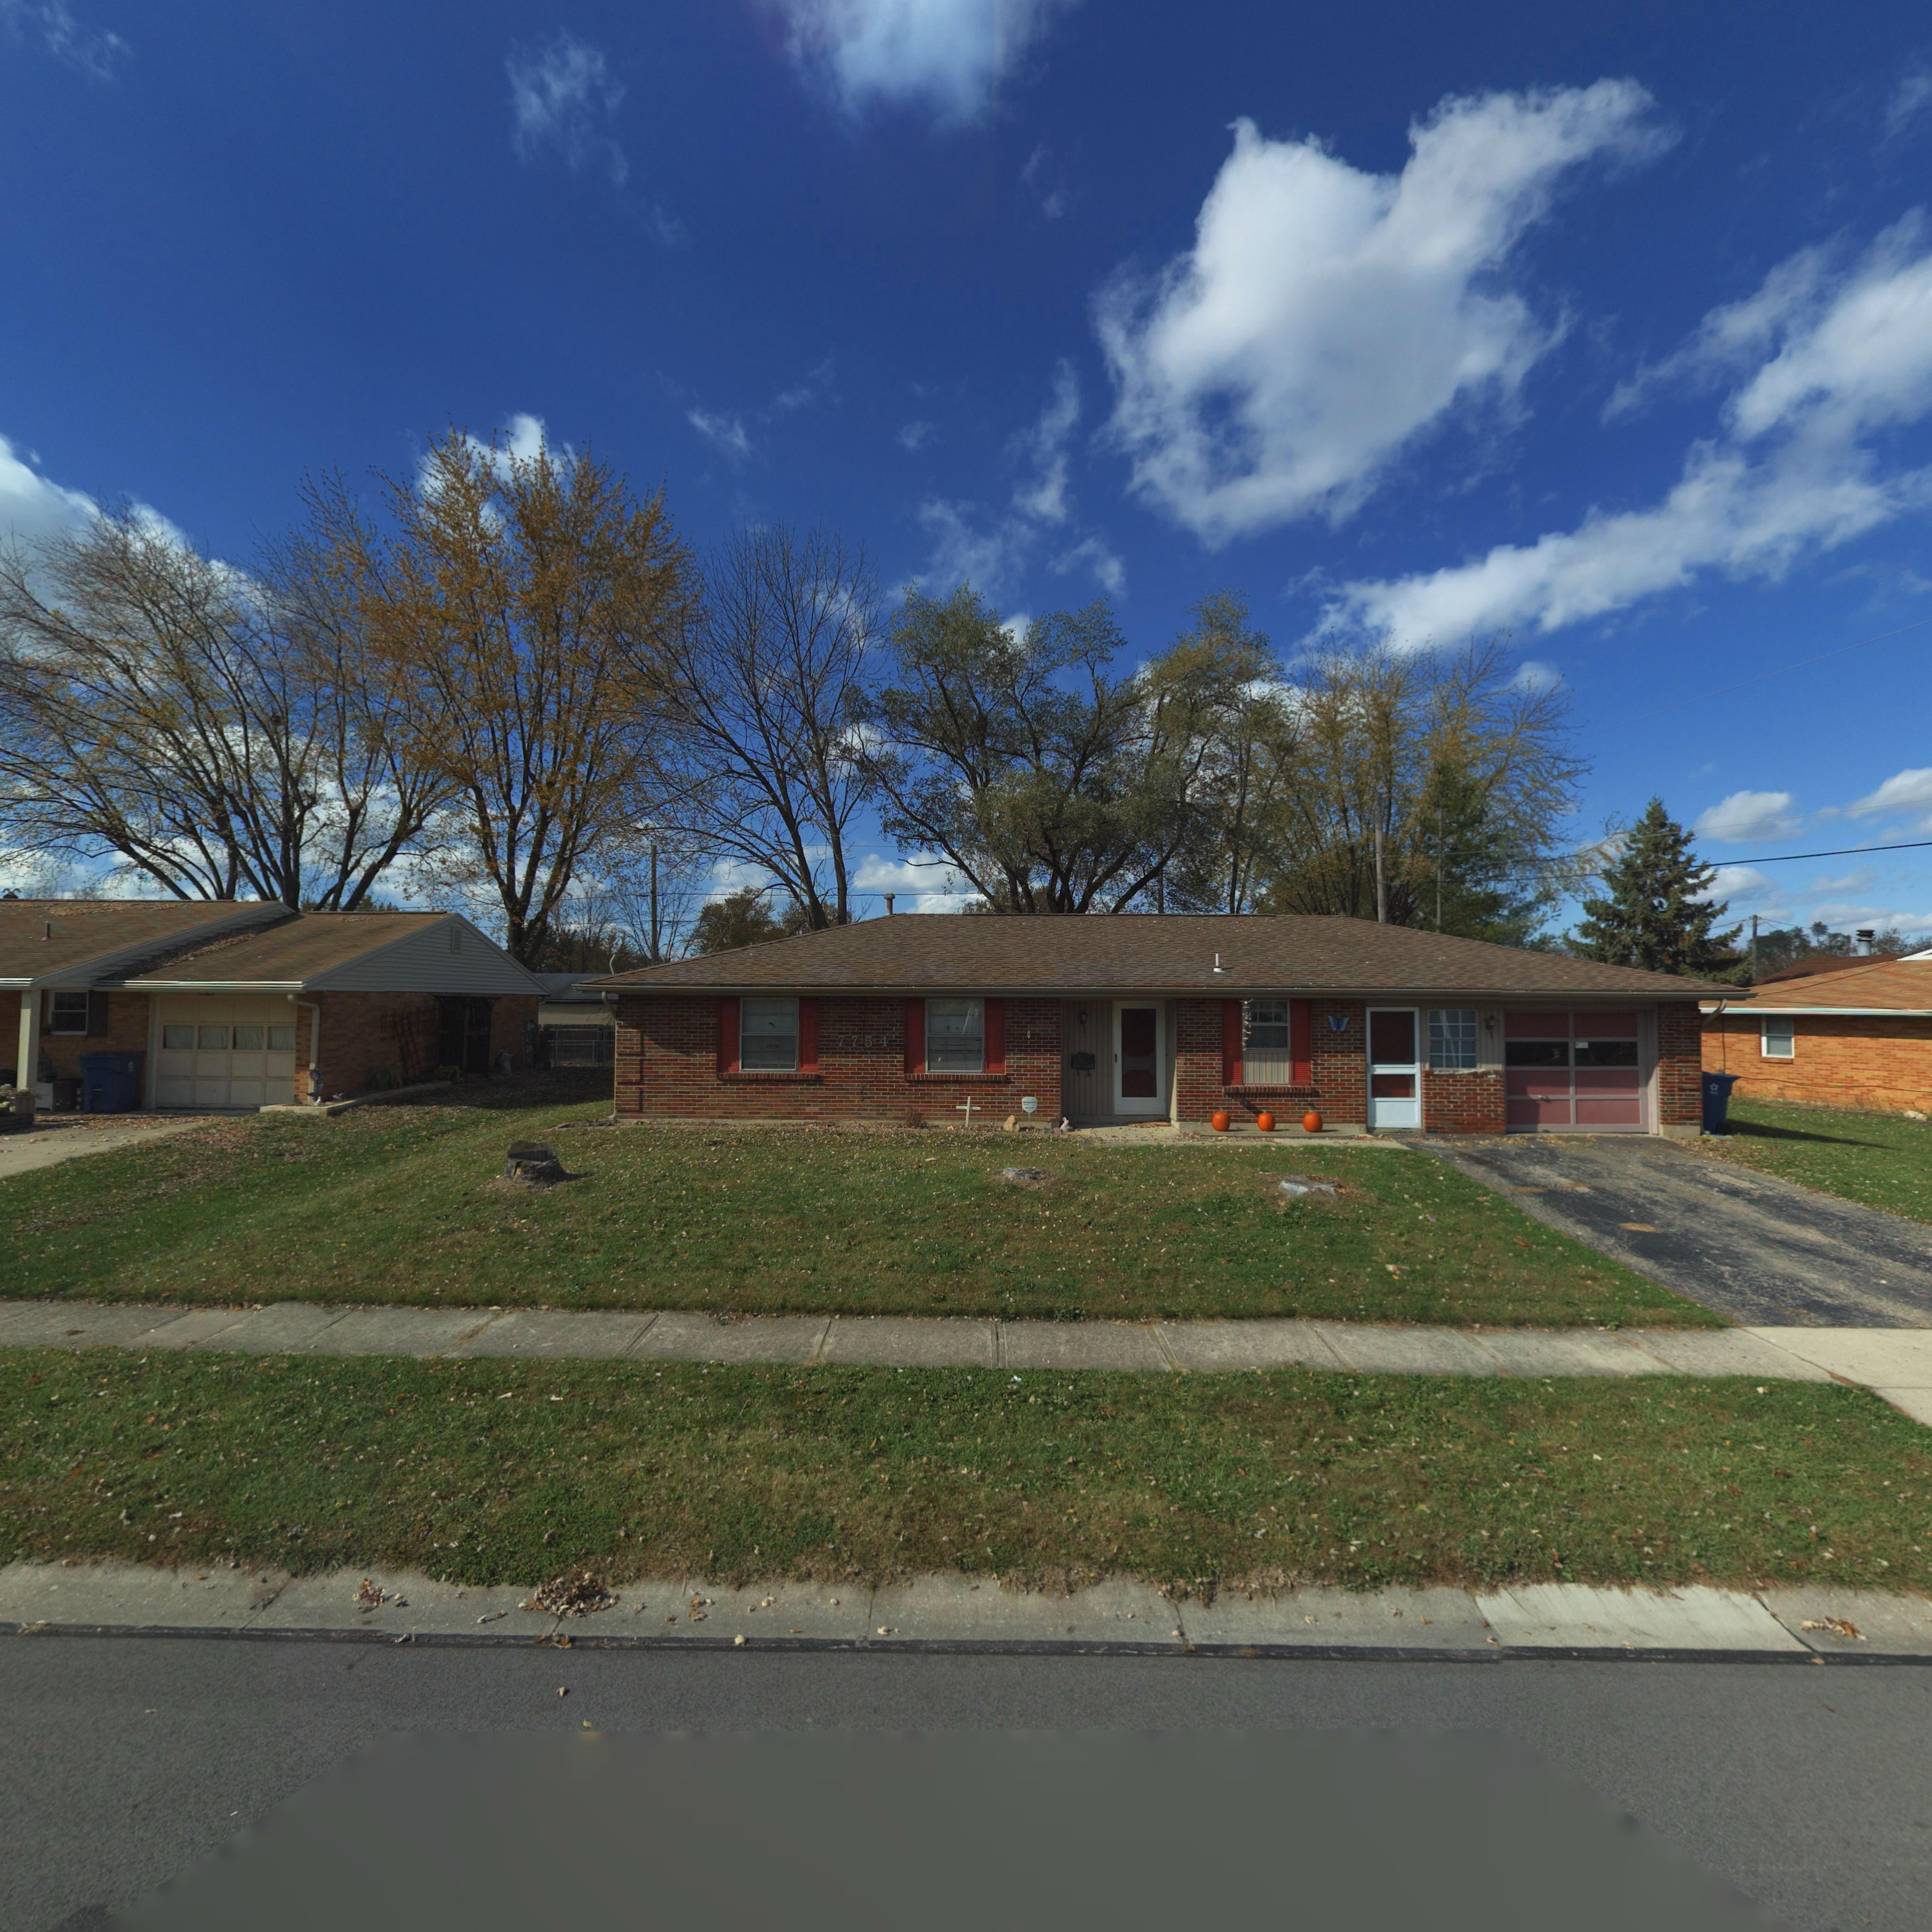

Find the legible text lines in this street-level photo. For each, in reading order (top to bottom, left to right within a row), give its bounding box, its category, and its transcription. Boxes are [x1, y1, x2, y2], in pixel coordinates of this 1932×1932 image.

[838, 1035, 889, 1047] StreetNumber: 7754